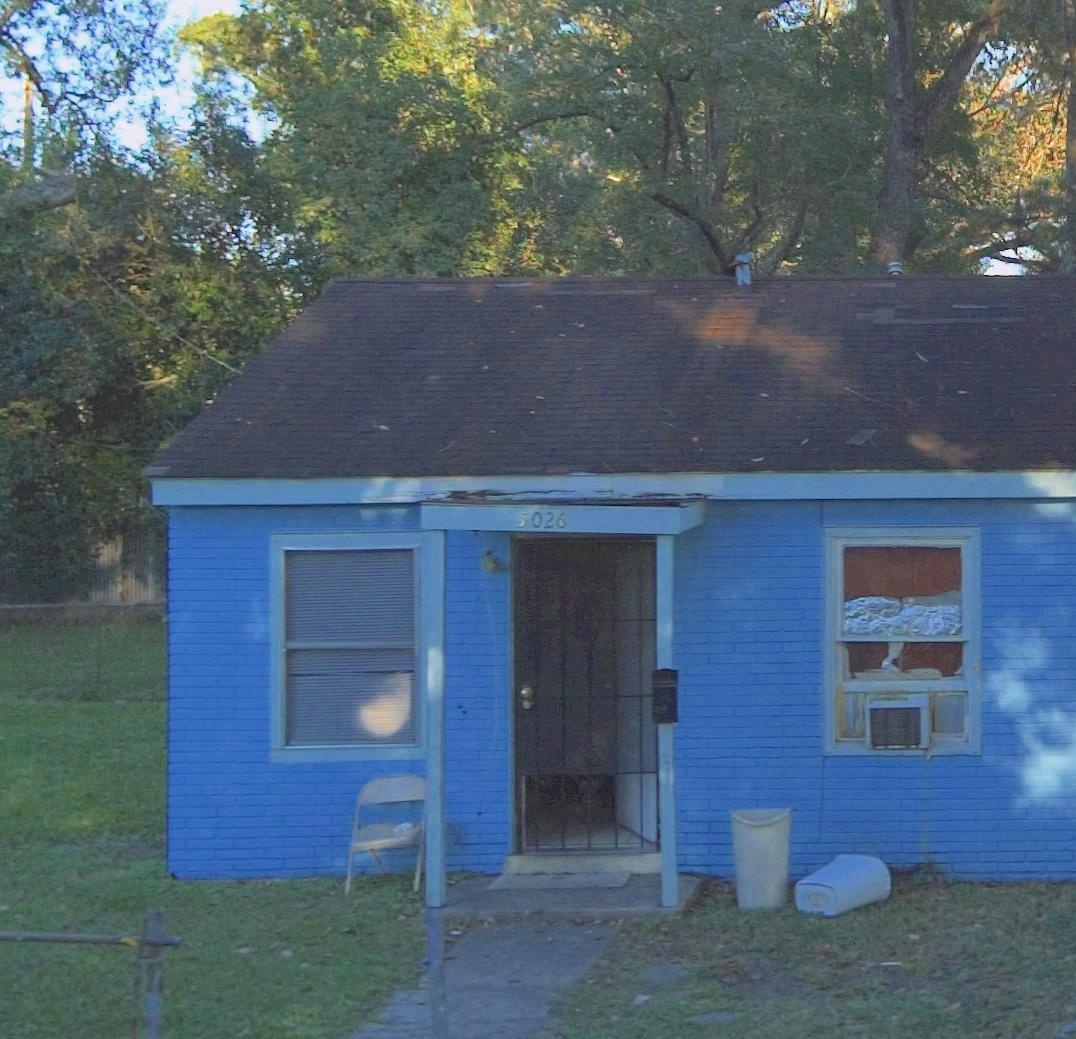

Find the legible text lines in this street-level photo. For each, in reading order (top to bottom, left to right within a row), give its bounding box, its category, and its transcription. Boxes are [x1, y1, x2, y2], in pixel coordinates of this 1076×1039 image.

[513, 511, 568, 530] StreetNumber: 5026